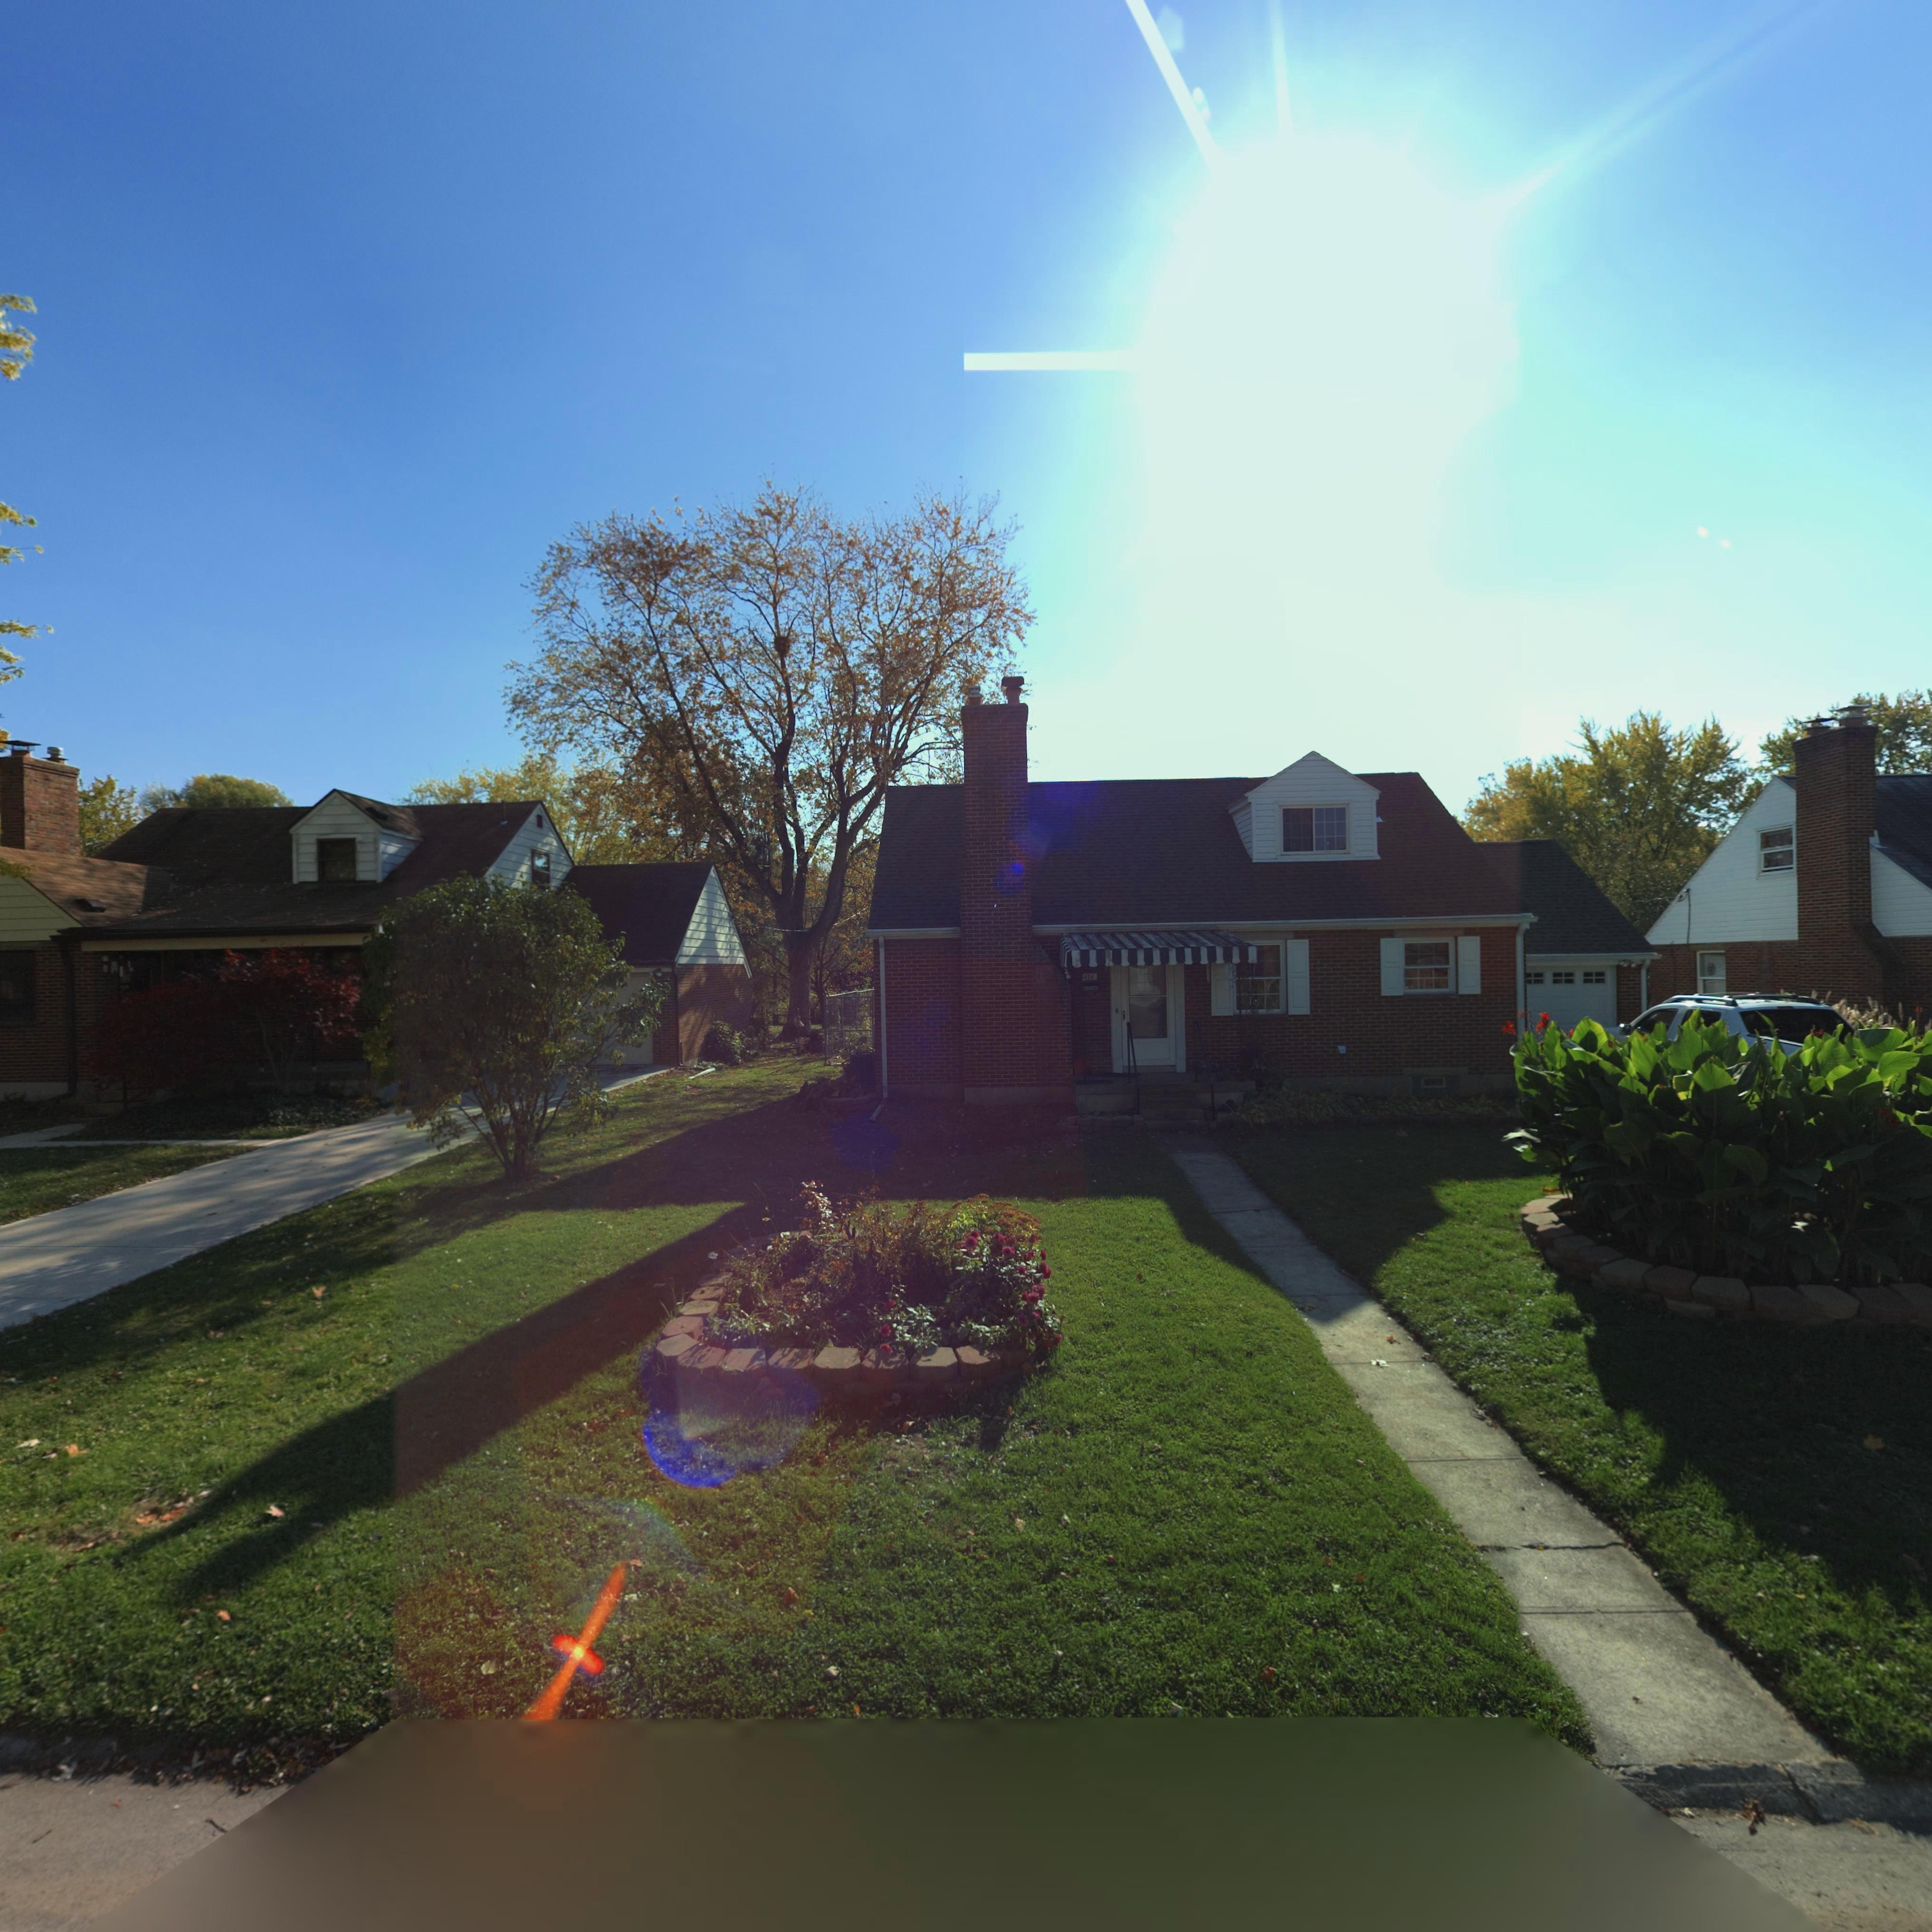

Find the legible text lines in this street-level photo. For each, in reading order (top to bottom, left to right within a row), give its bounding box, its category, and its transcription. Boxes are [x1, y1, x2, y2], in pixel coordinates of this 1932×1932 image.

[1083, 974, 1094, 980] StreetNumber: 624